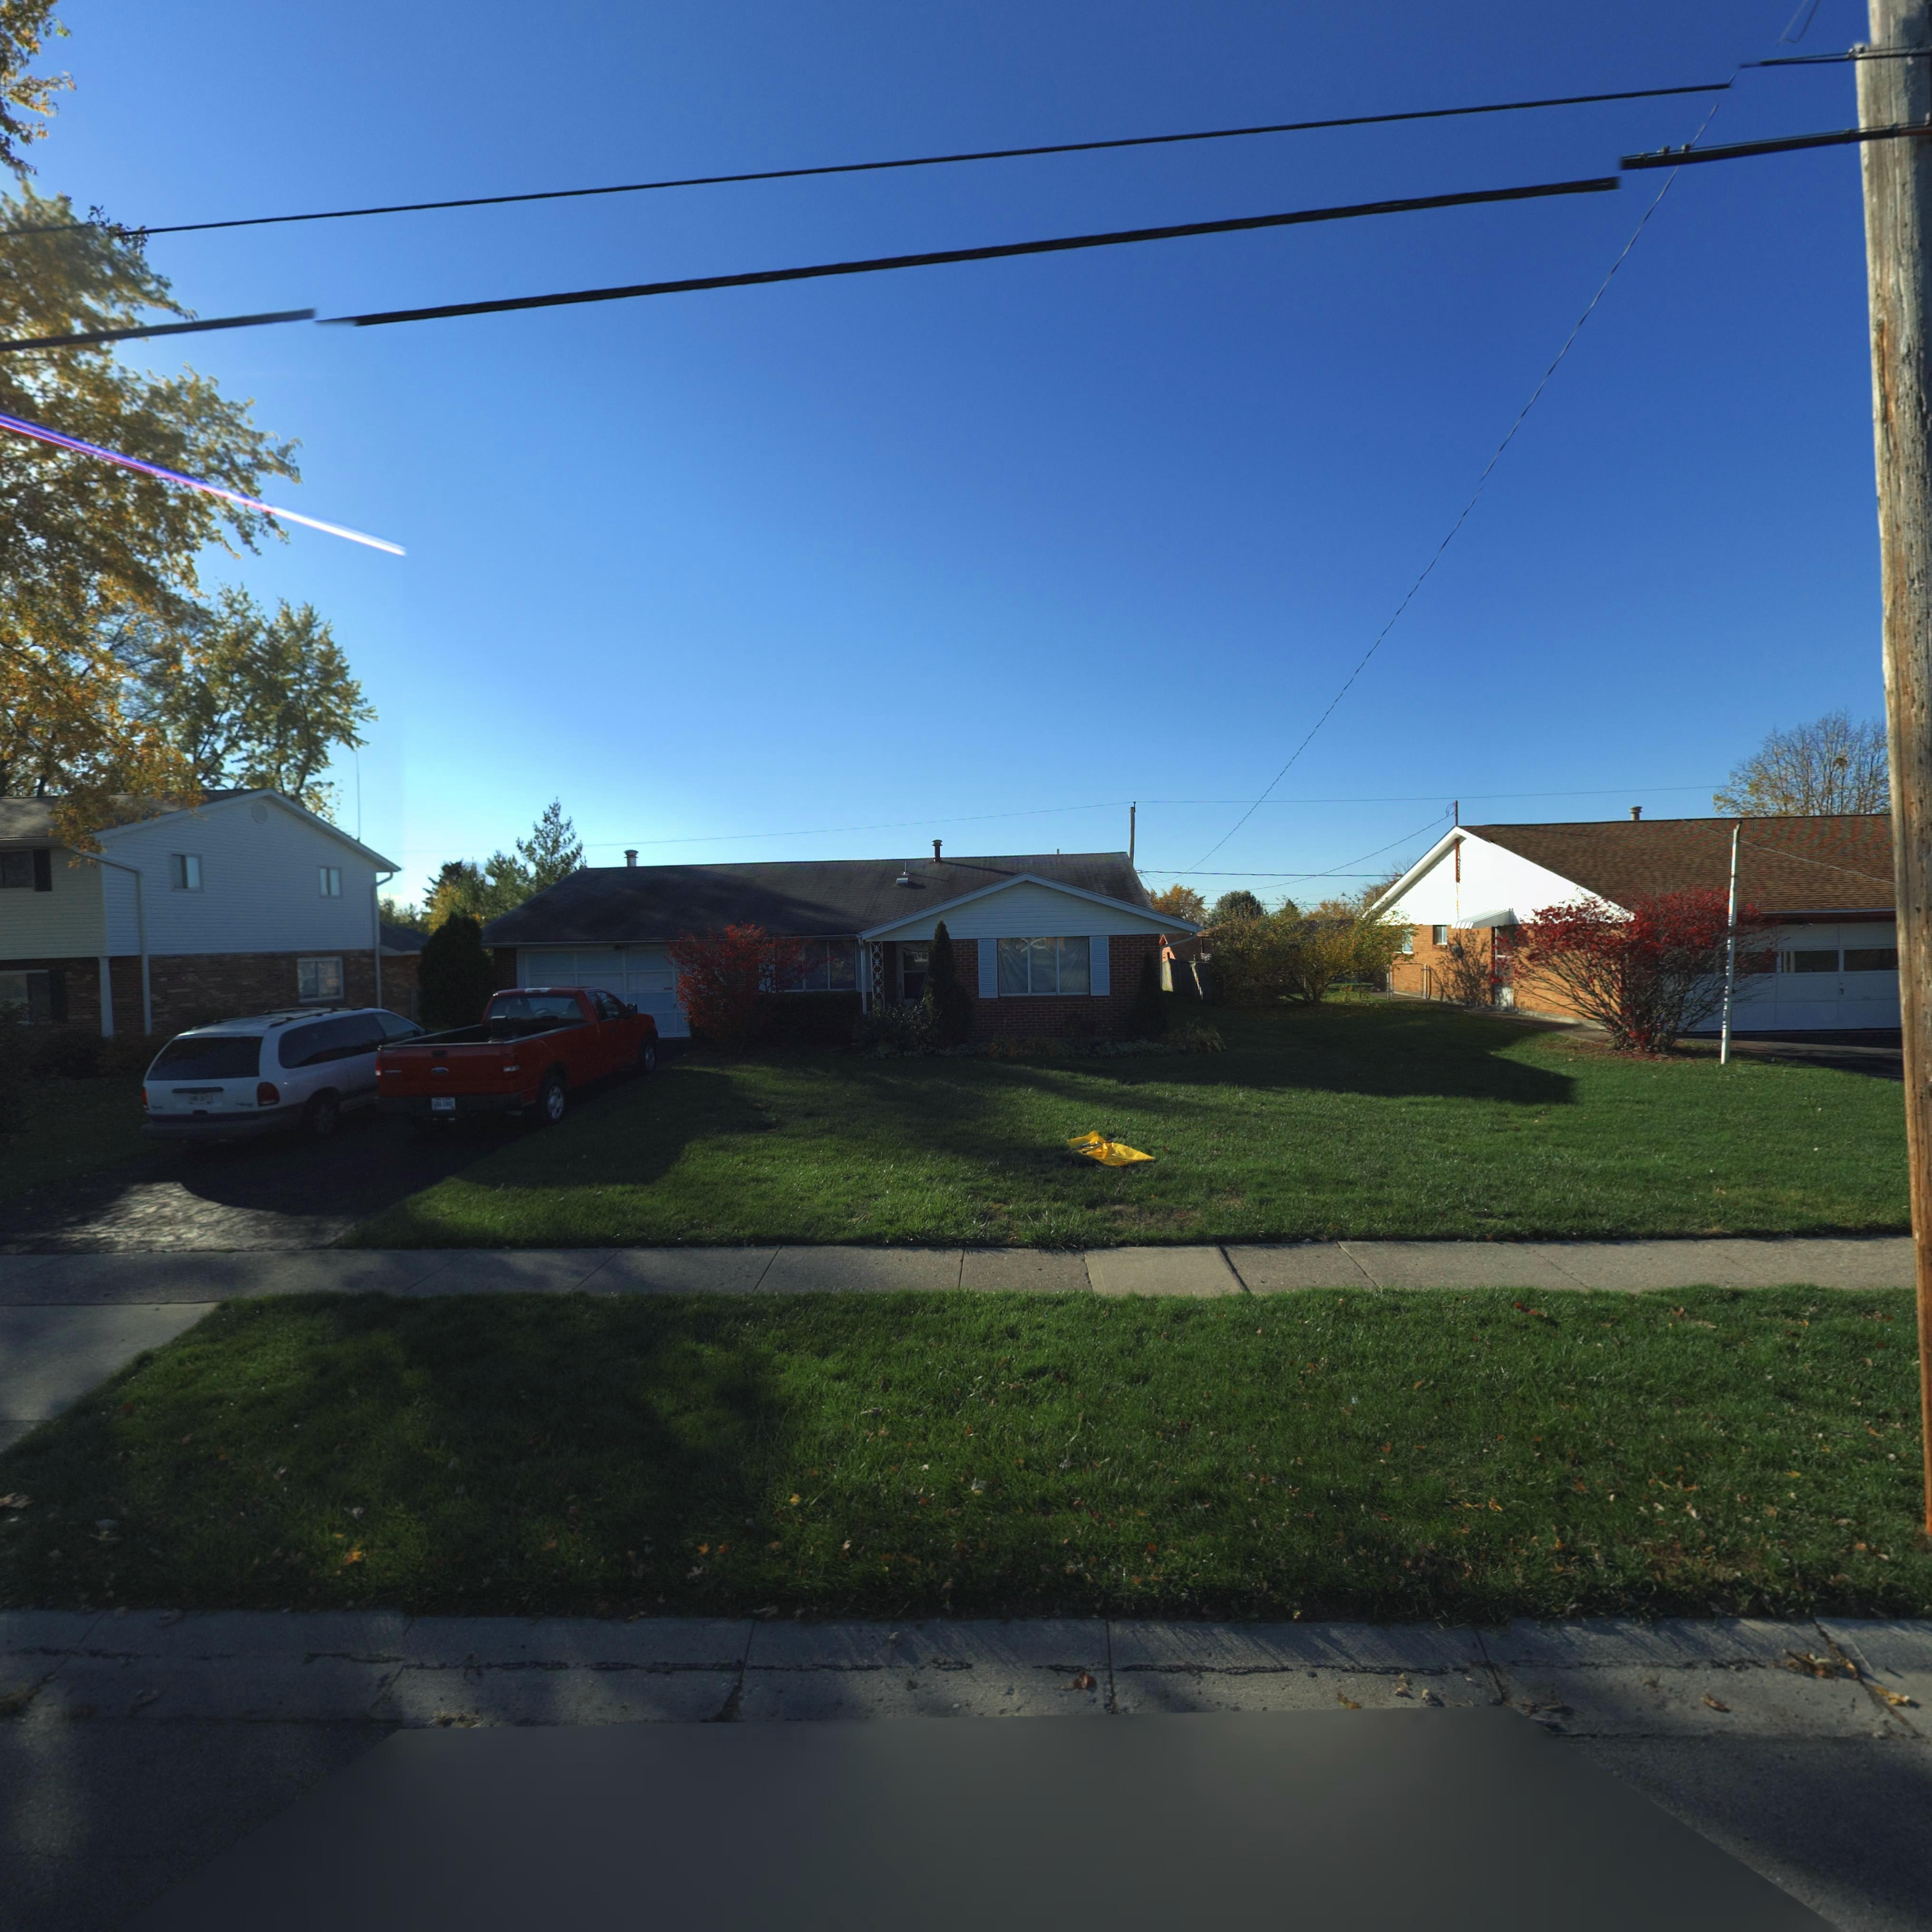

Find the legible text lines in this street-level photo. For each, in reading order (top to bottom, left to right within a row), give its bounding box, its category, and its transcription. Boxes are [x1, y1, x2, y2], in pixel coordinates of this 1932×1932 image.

[613, 944, 630, 951] StreetNumber: 5842